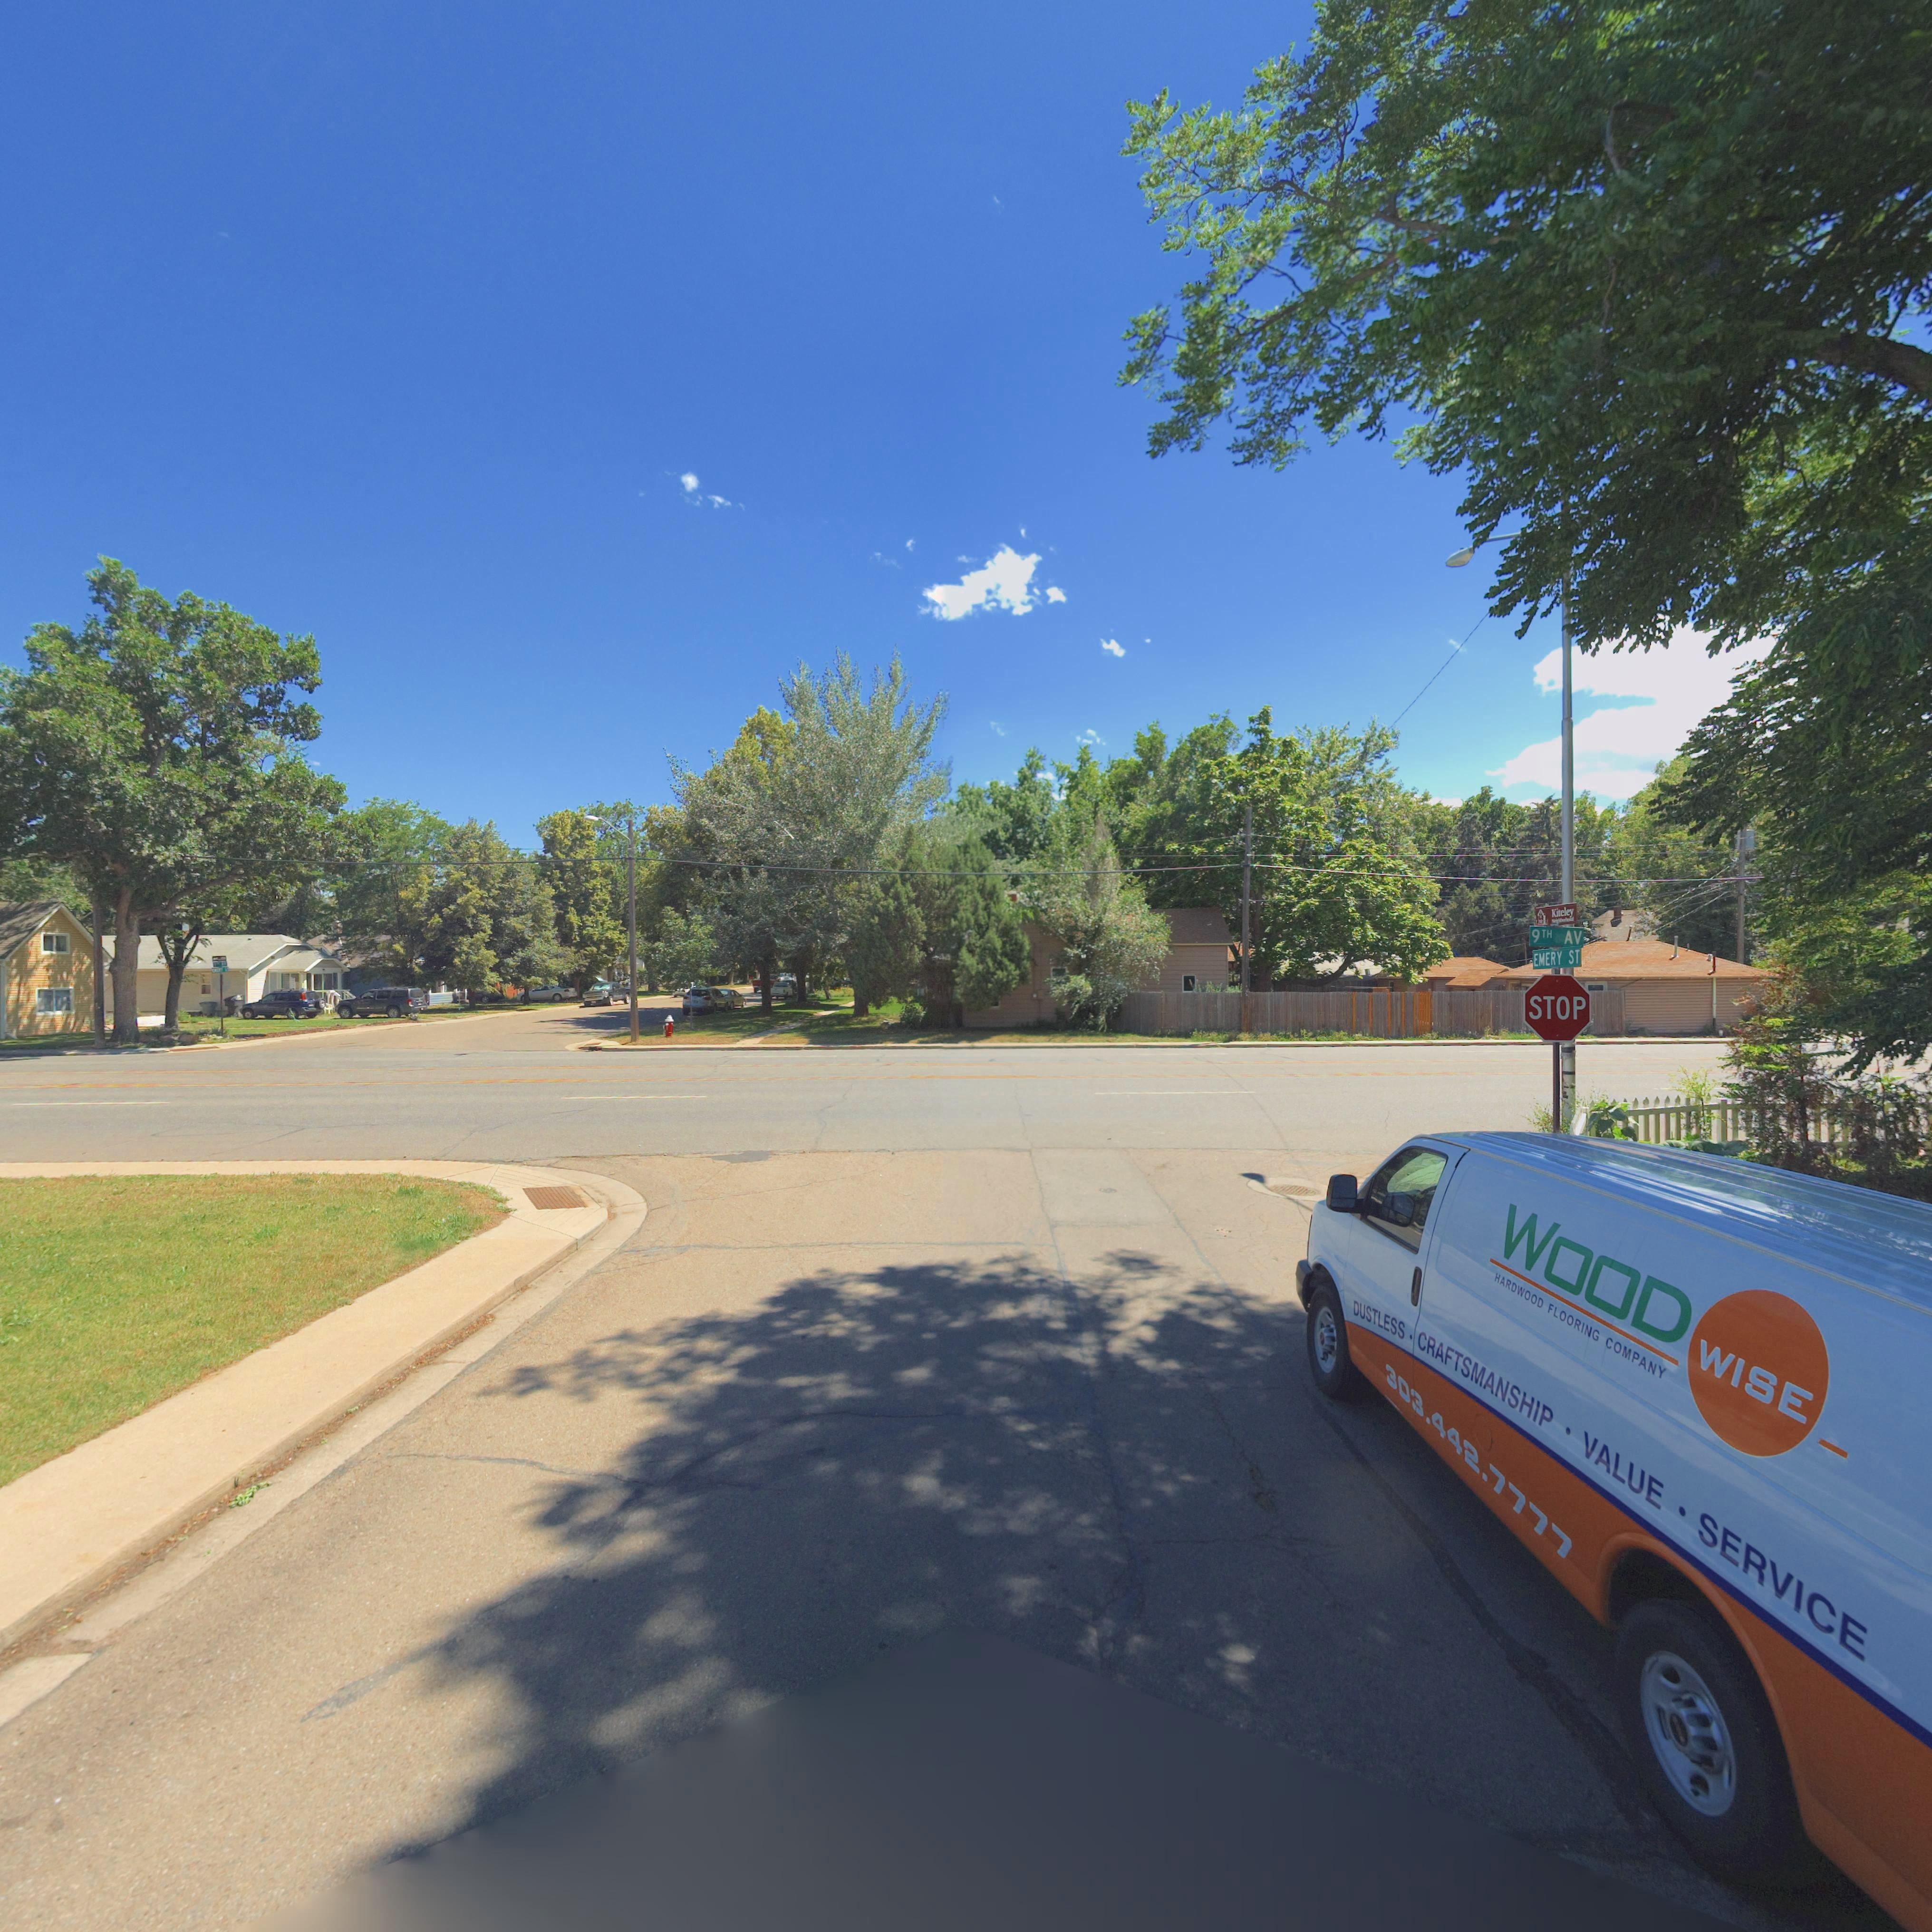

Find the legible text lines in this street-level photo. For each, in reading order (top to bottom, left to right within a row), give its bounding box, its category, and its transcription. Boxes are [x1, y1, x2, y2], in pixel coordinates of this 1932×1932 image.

[1531, 928, 1583, 945] BusinessName: 9TH AV
[1533, 949, 1580, 967] StreetName: EMERY ST